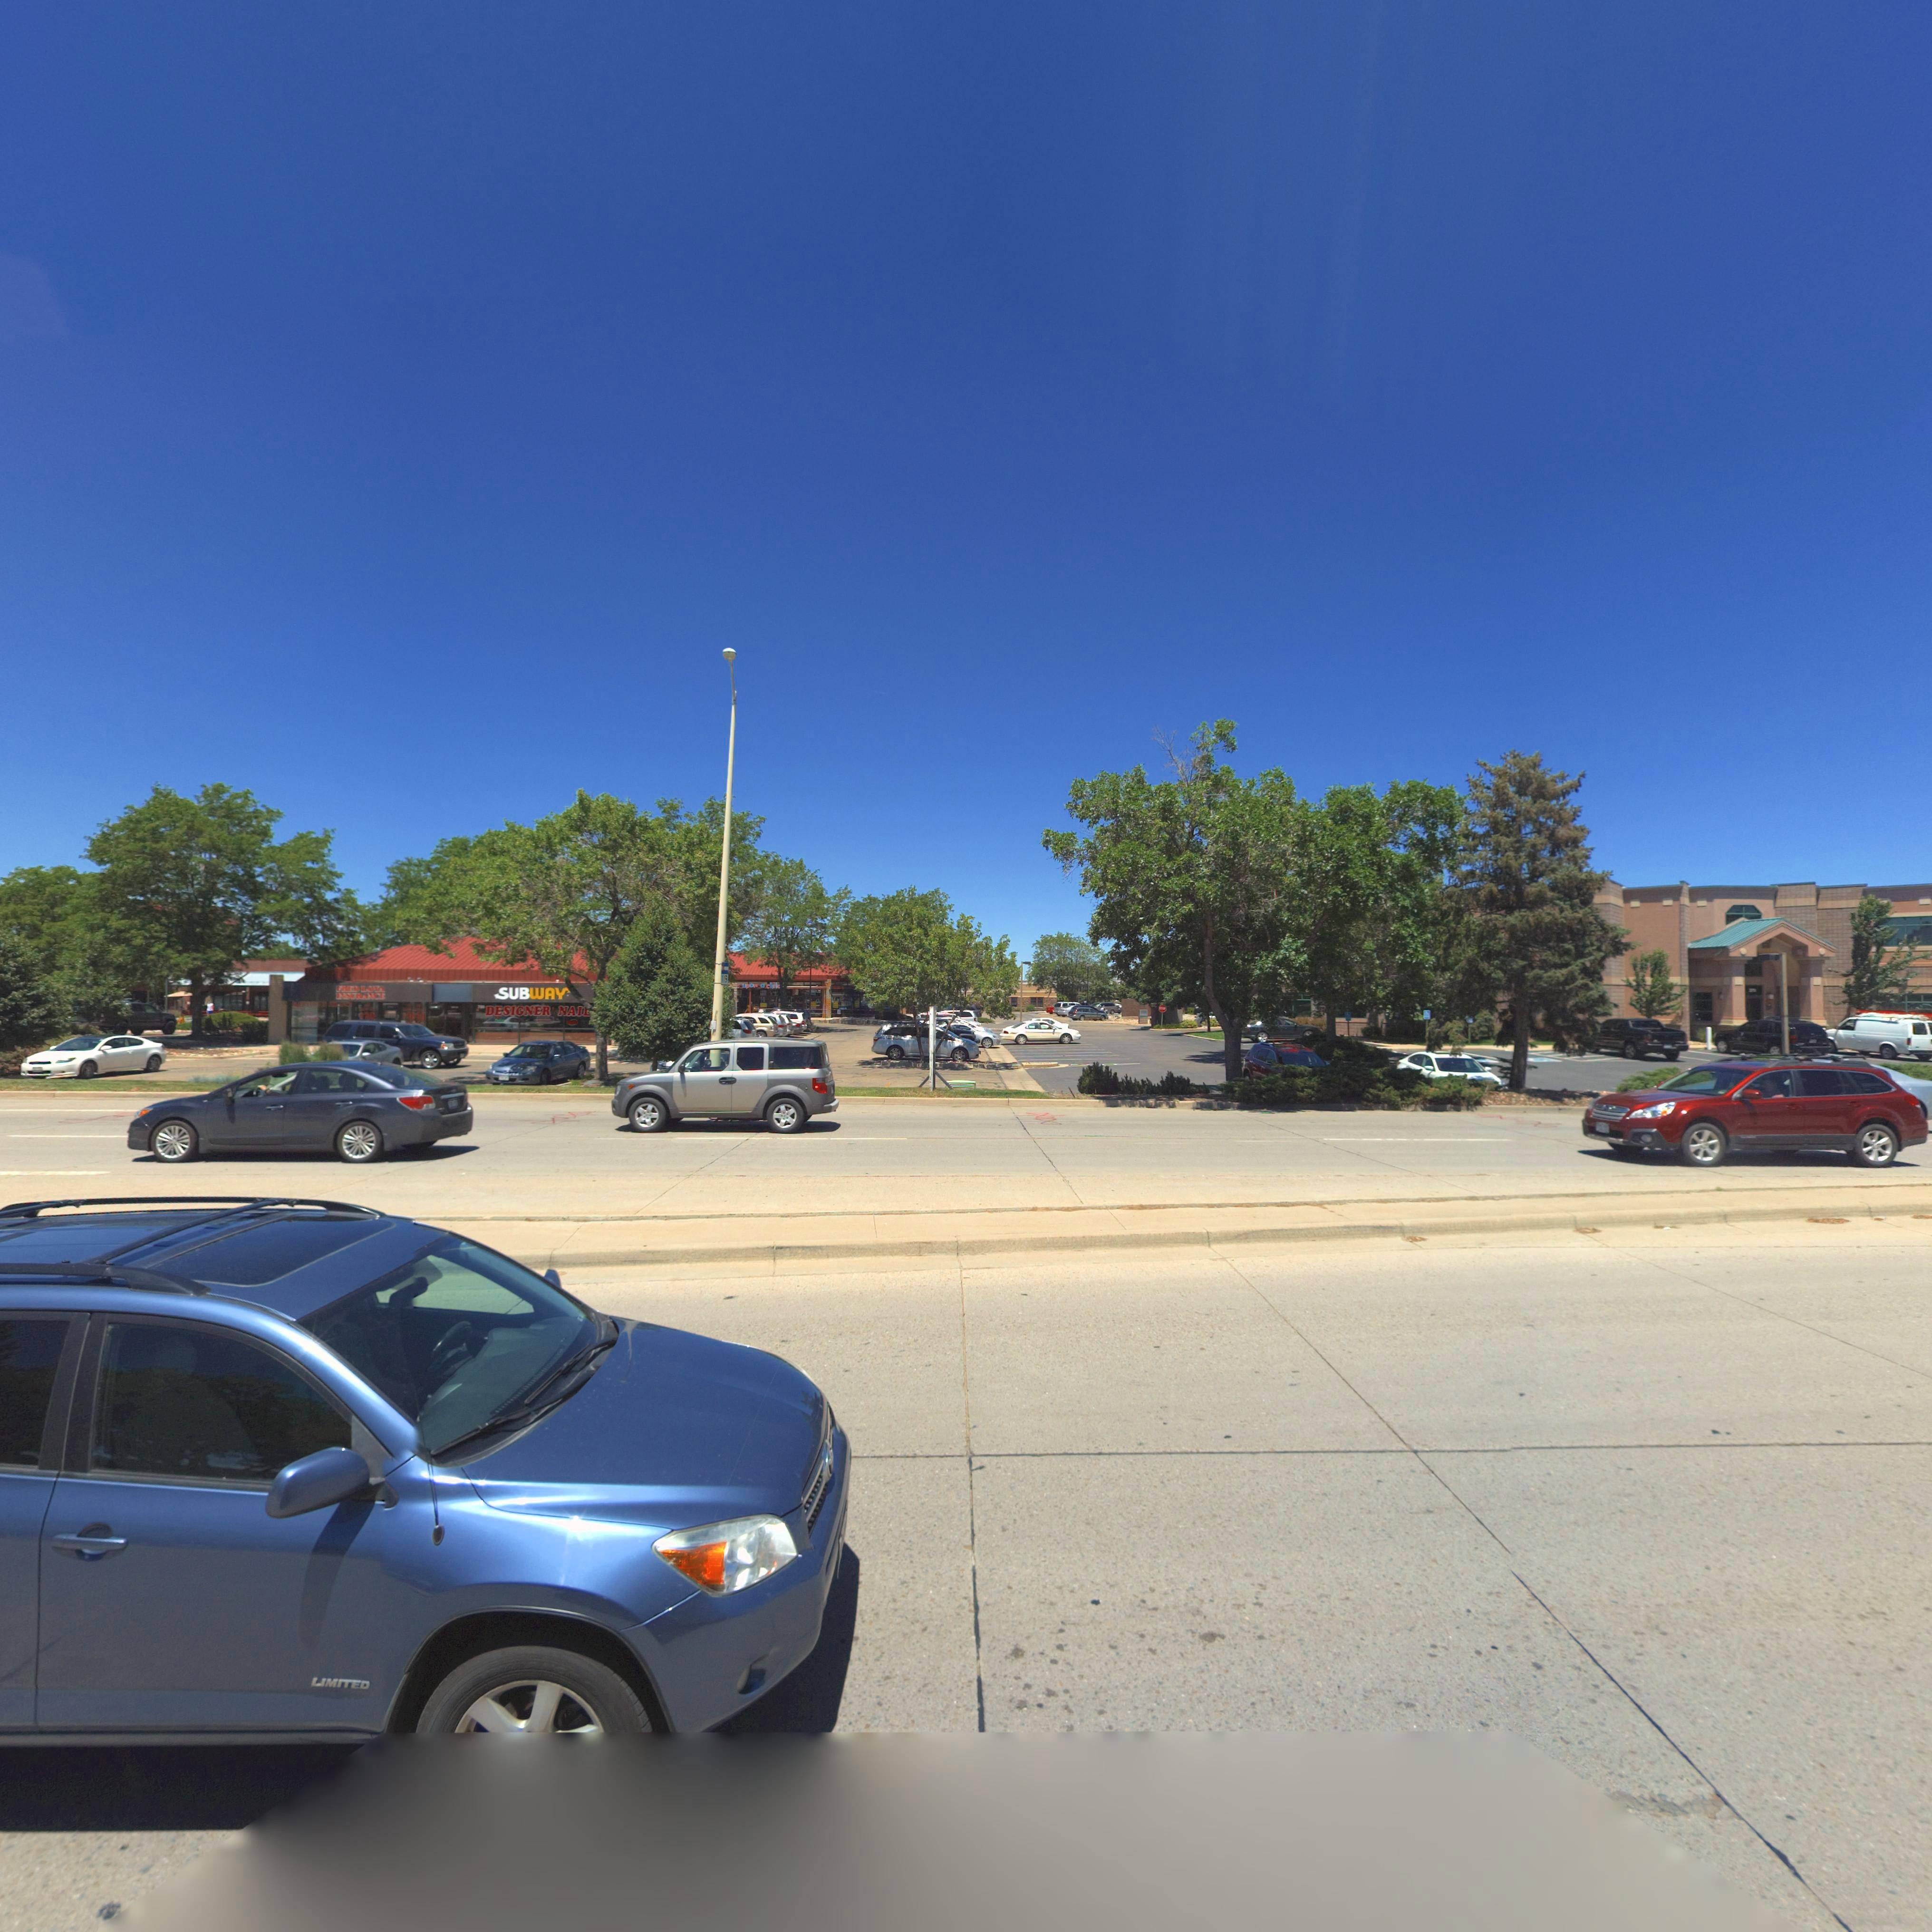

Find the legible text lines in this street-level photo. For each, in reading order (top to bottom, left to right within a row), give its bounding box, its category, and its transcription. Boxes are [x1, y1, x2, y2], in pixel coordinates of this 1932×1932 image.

[336, 985, 386, 992] BusinessName: FRED L**A
[741, 981, 780, 989] BusinessName: upon a chil*
[336, 992, 386, 1000] BusinessName: I*SURANCE
[493, 985, 572, 1001] BusinessName: SUBWAY
[484, 1005, 591, 1017] BusinessName: DESIGNER NAI**